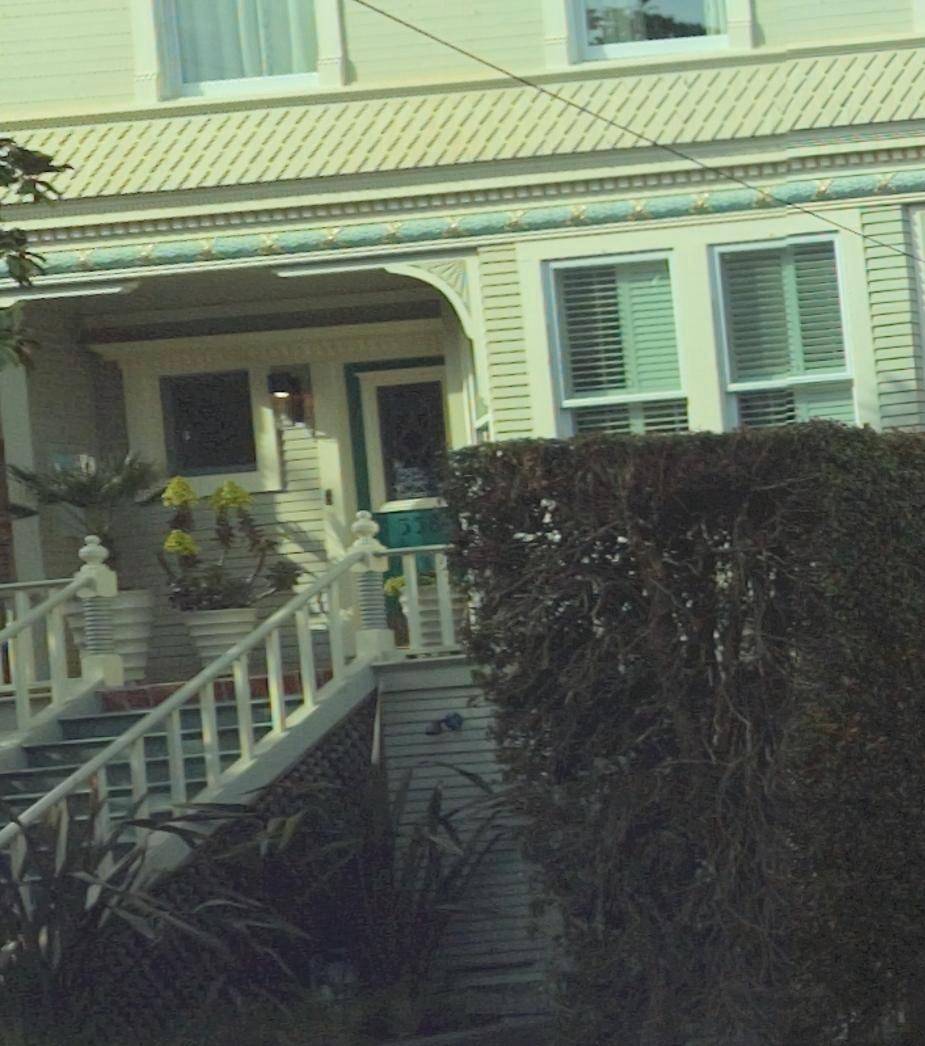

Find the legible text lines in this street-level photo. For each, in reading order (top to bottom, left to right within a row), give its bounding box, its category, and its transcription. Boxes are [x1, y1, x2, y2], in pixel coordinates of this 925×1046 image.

[395, 515, 443, 537] StreetNumber: 558